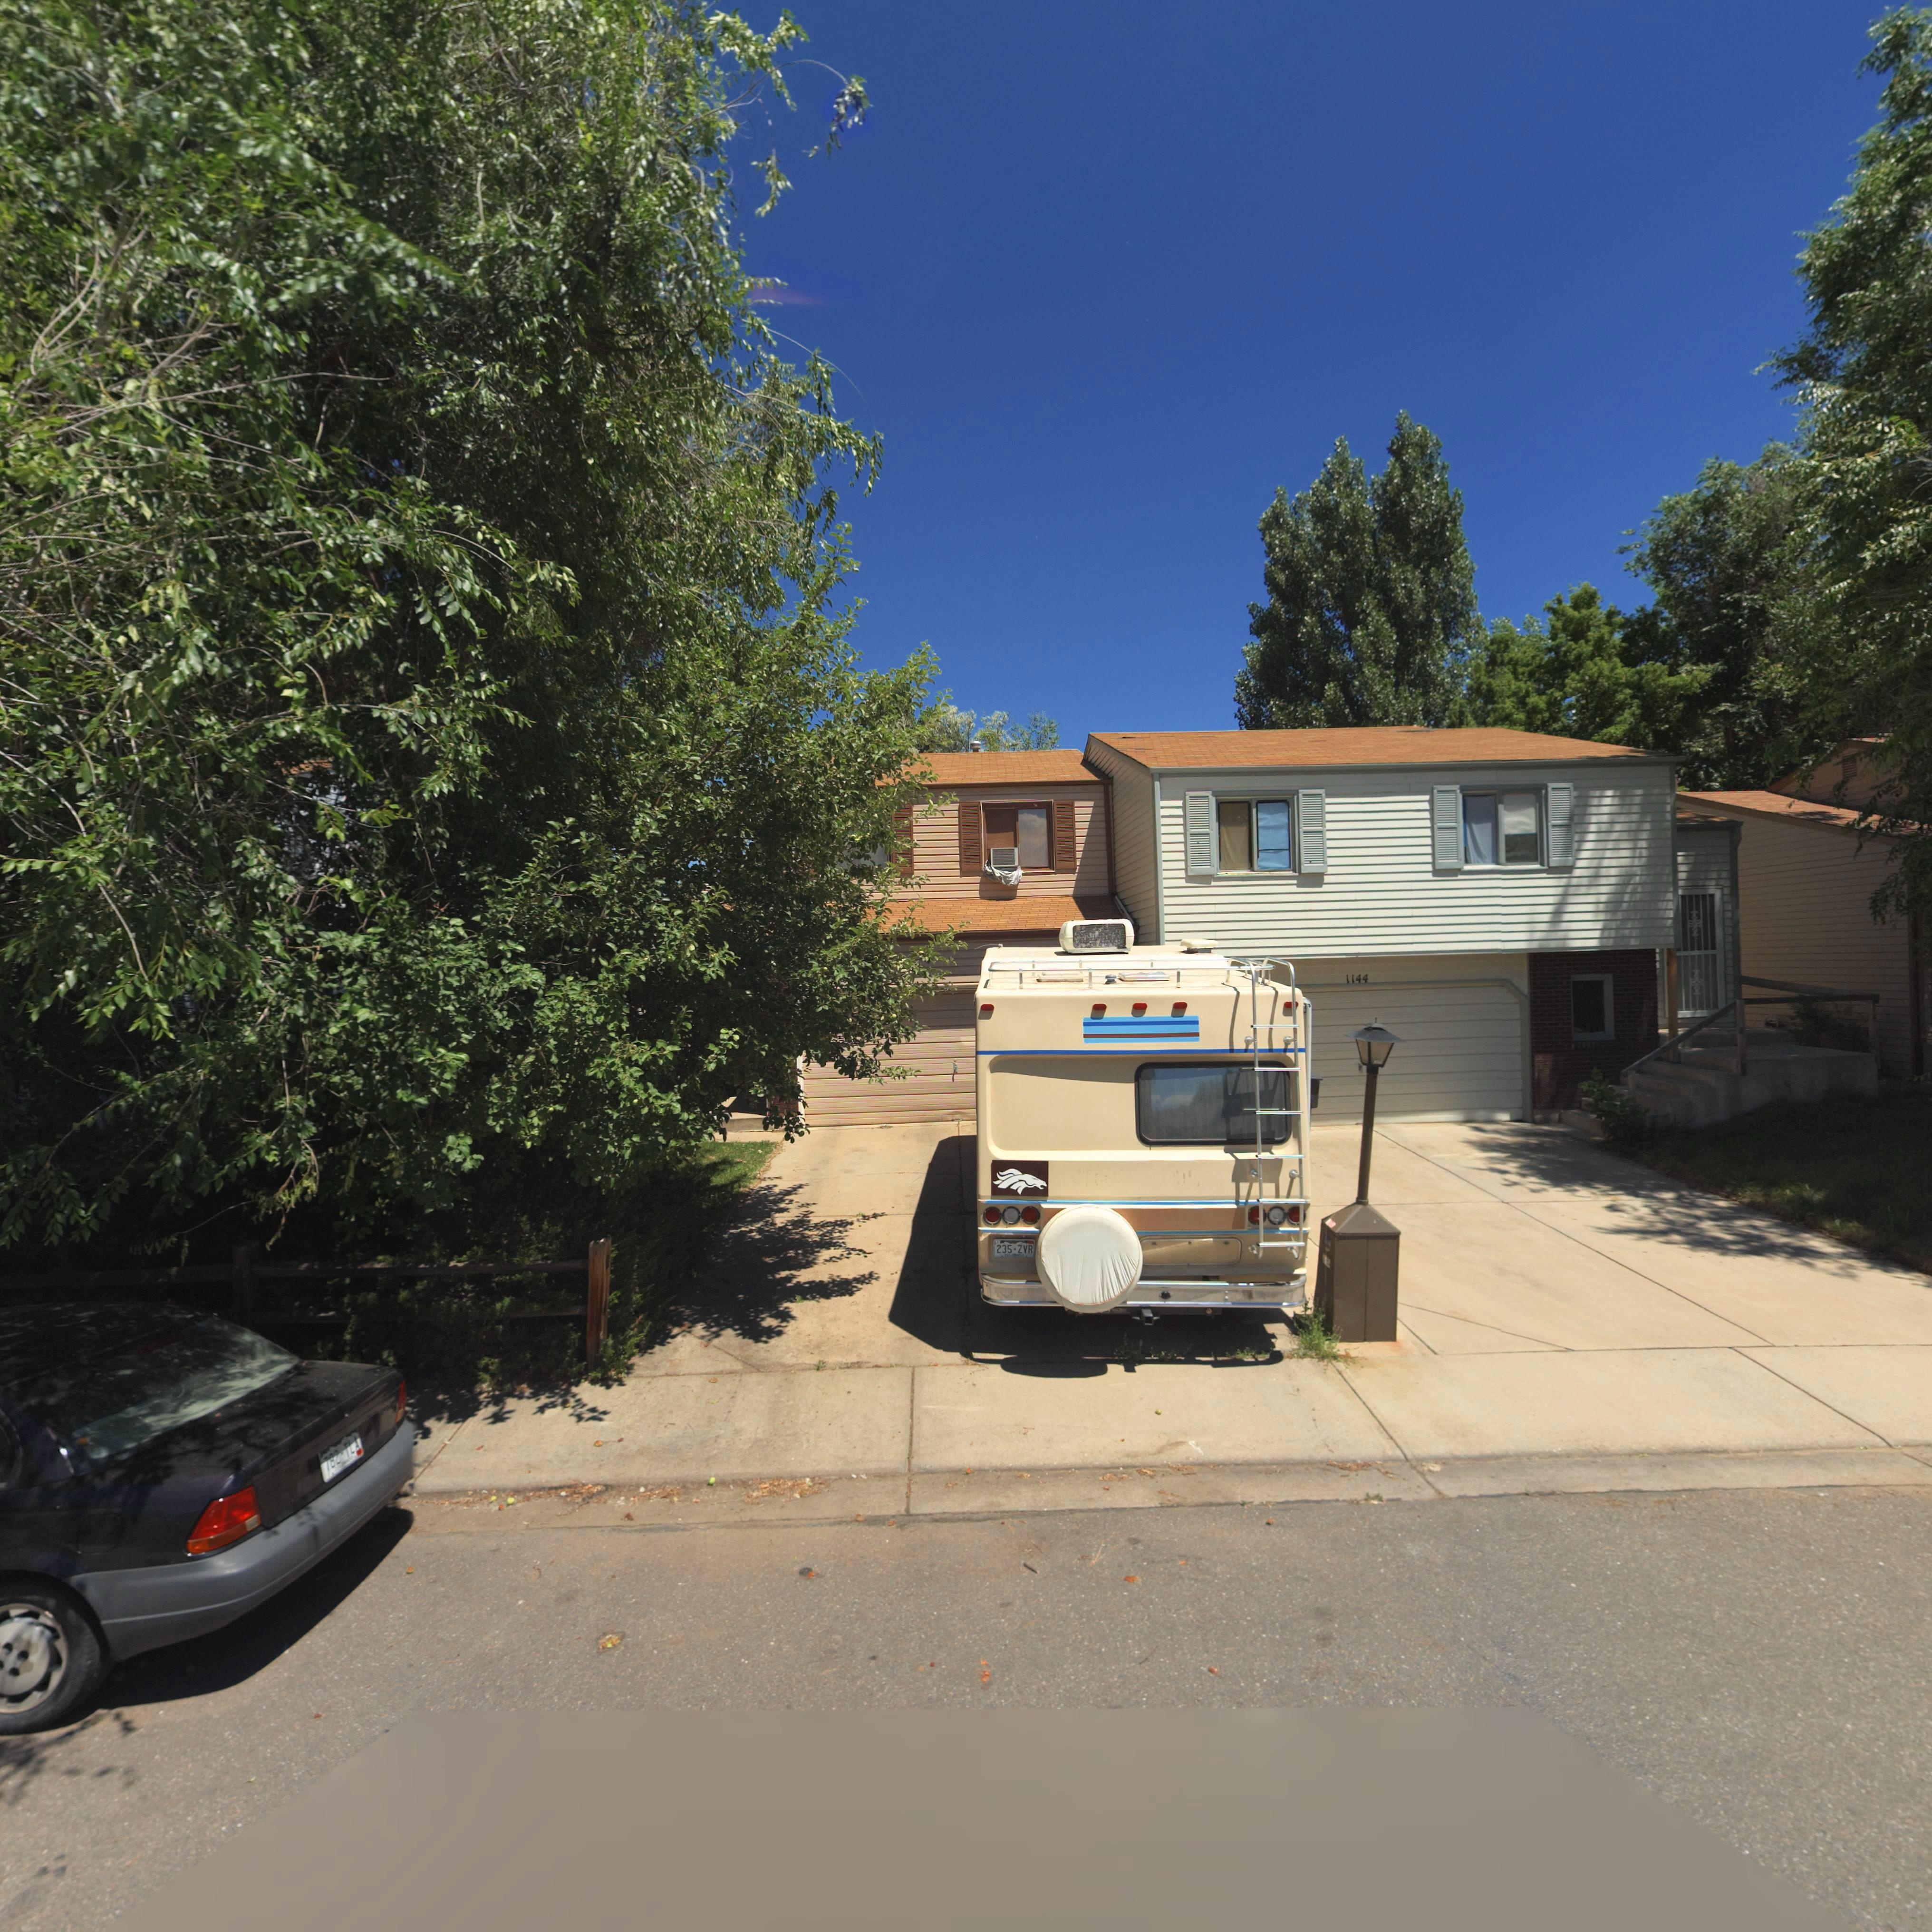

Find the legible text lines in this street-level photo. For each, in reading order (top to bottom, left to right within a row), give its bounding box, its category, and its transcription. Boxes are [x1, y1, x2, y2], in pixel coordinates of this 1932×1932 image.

[1345, 973, 1369, 984] StreetNumber: 1144